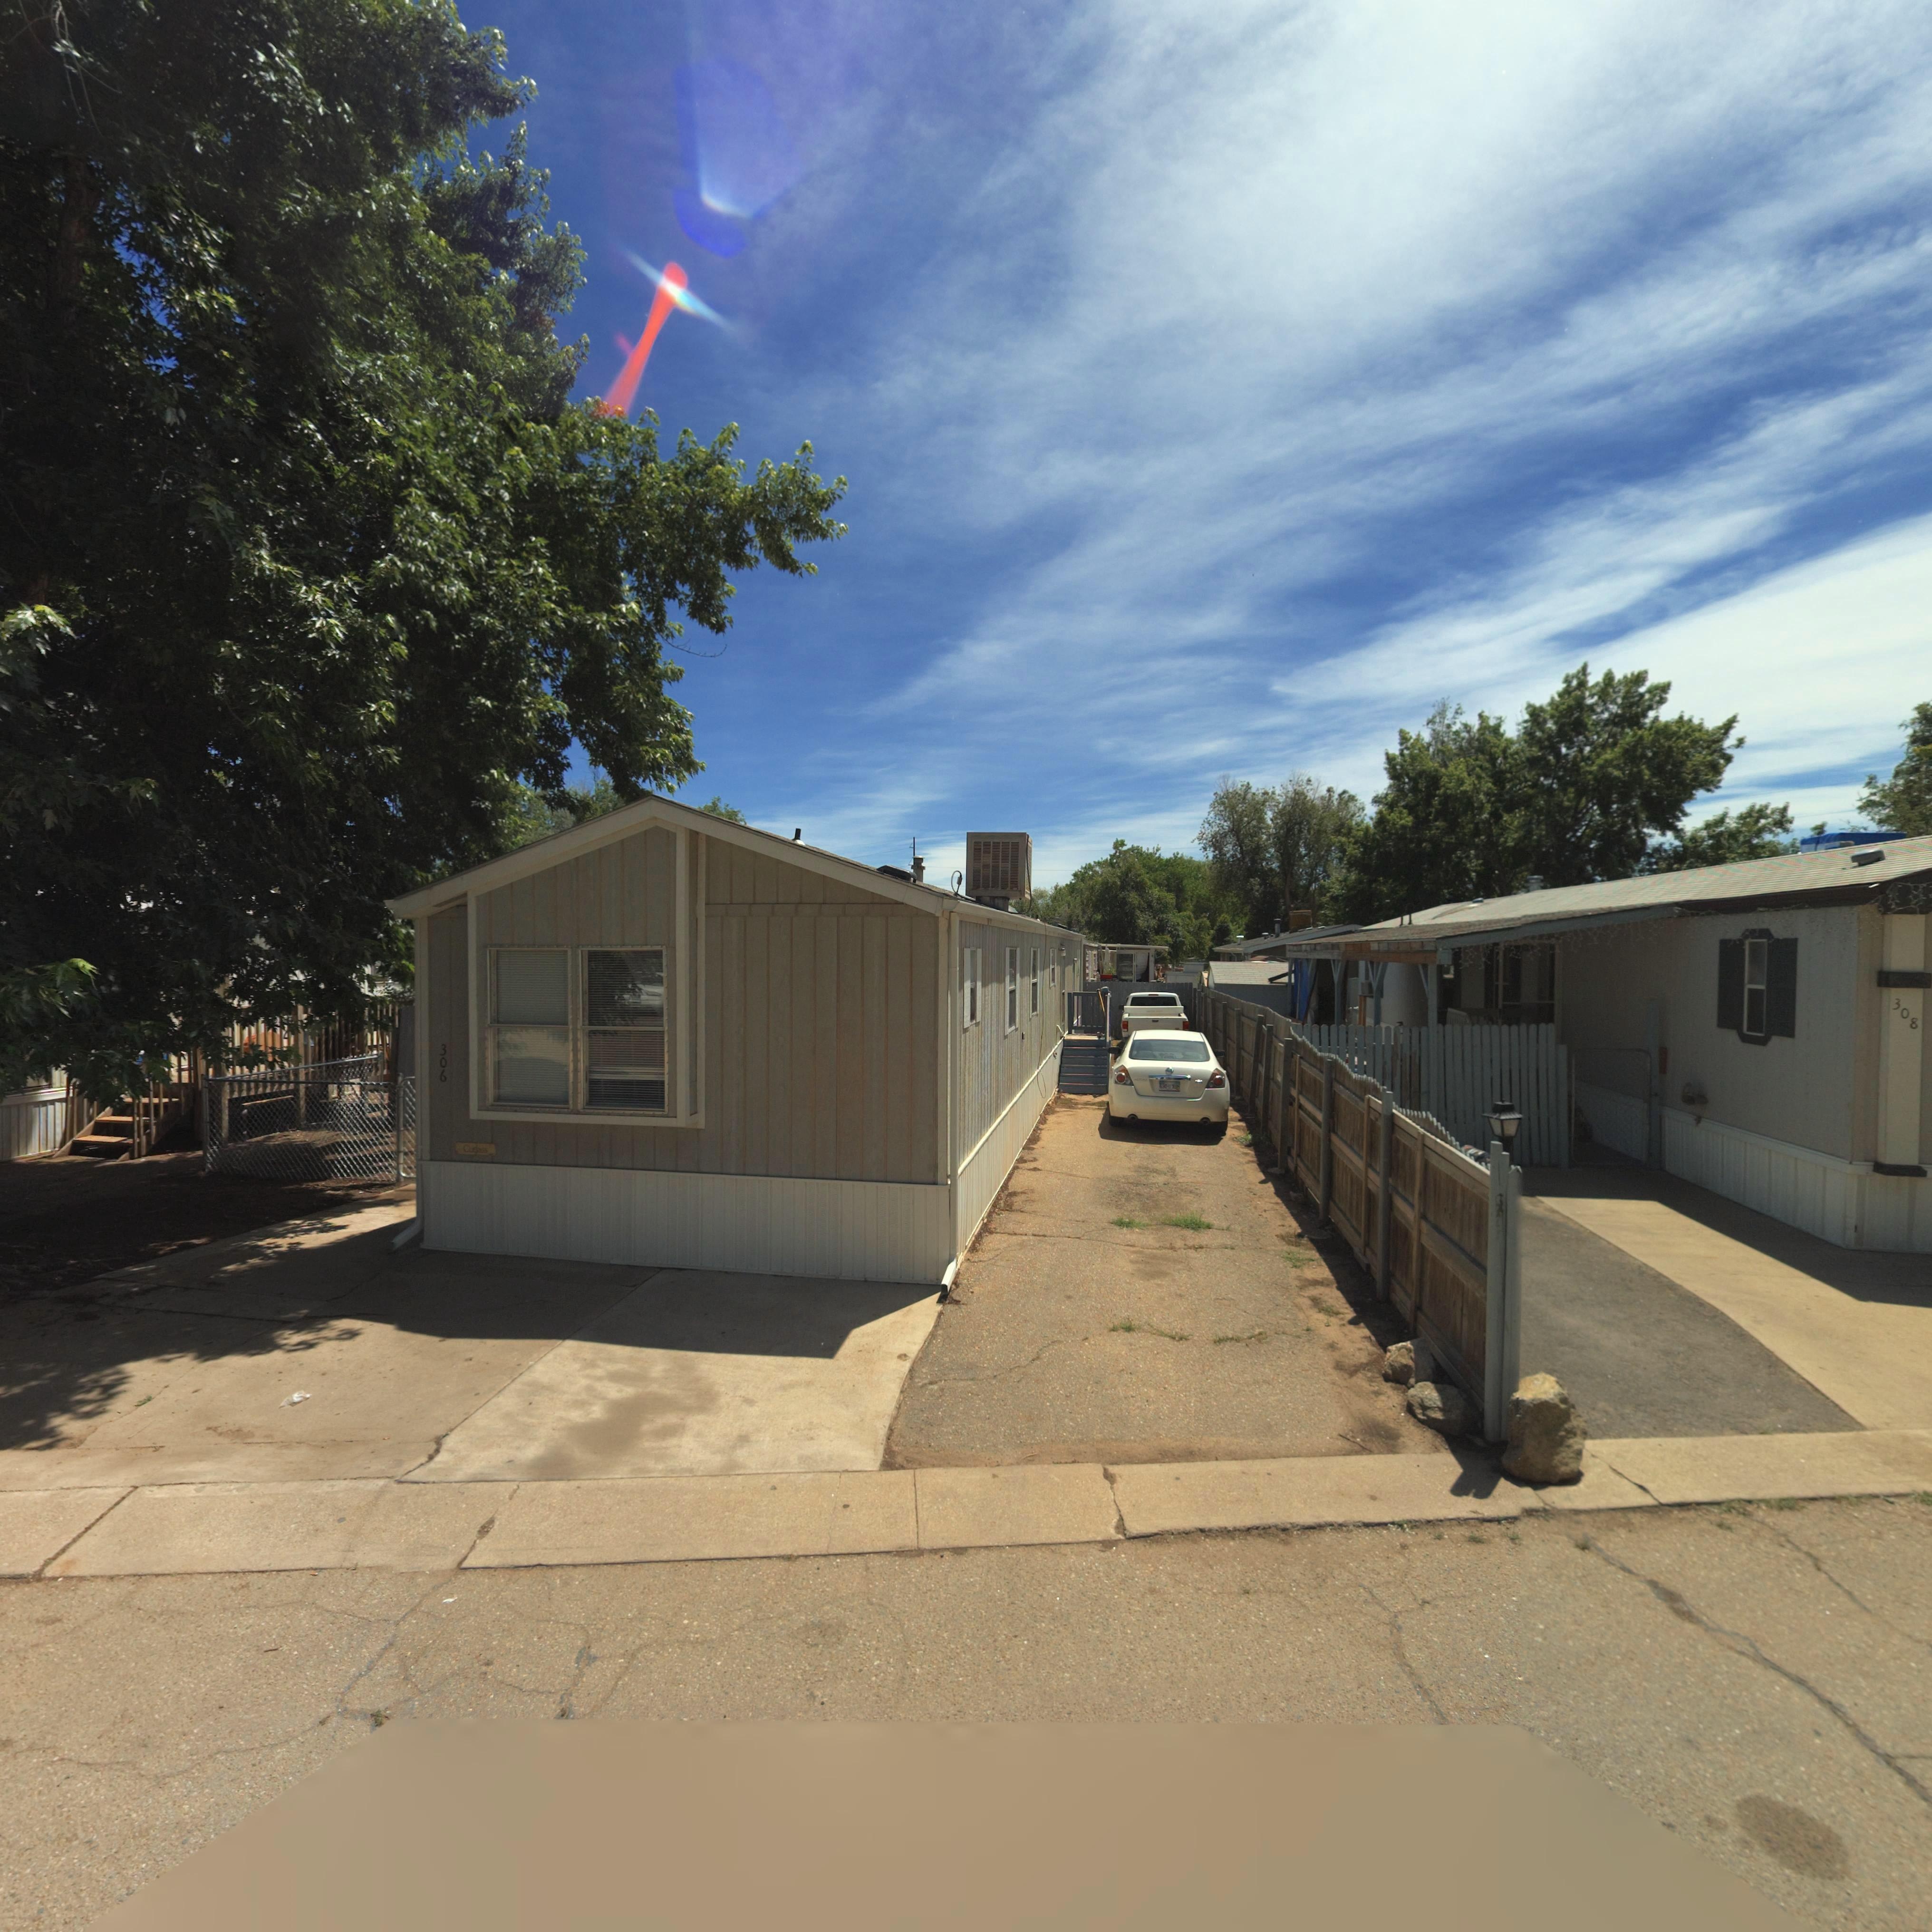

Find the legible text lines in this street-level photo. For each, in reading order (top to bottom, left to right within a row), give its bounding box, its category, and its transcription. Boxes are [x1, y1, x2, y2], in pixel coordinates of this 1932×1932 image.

[1892, 998, 1919, 1030] StreetNumber: 308
[438, 1043, 447, 1082] StreetNumber: 306